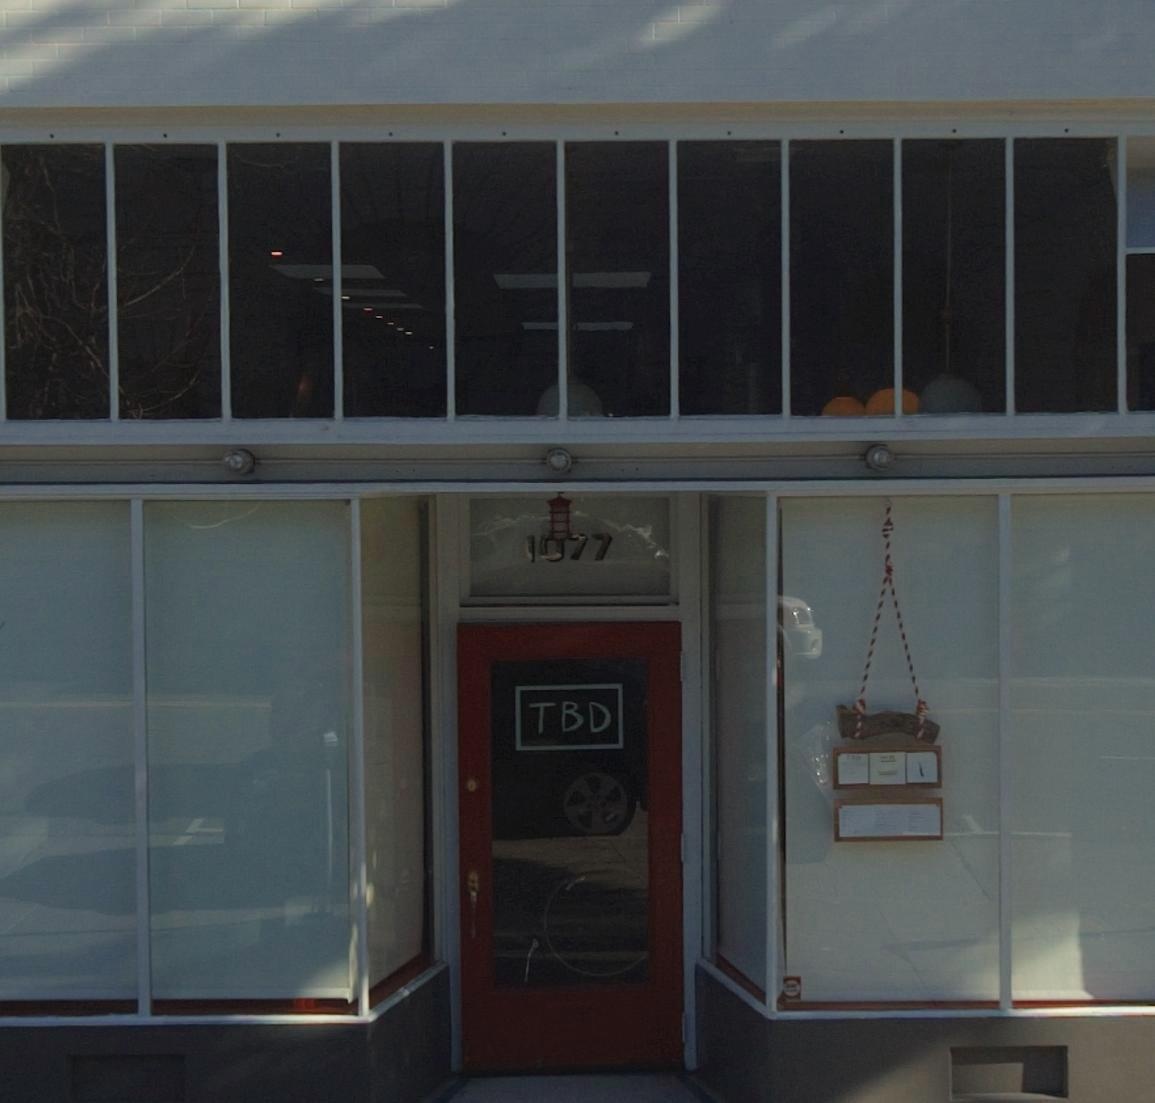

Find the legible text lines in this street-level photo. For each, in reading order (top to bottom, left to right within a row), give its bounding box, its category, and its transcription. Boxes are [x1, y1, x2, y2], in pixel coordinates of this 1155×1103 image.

[522, 528, 617, 565] StreetNumber: 1077
[524, 699, 613, 737] BusinessName: TBD